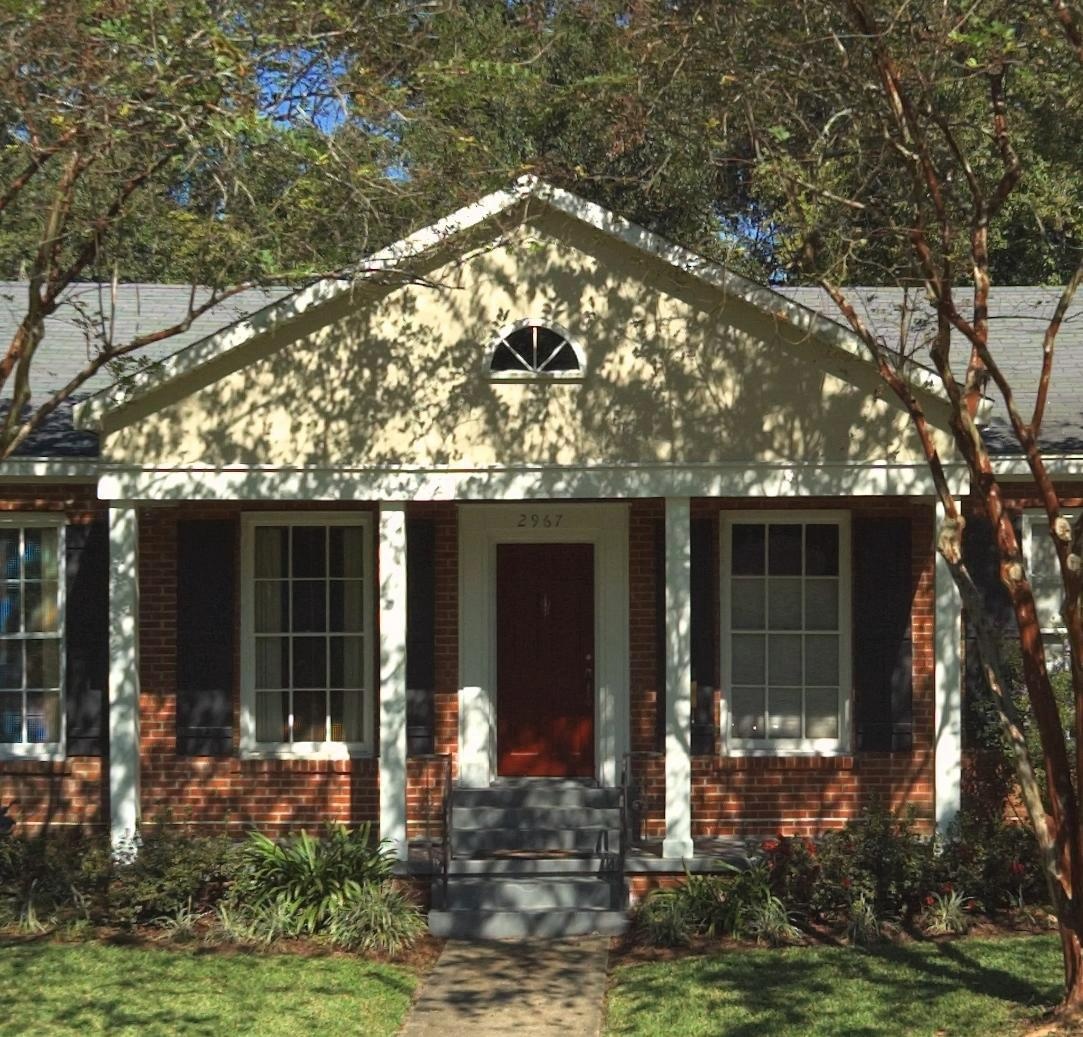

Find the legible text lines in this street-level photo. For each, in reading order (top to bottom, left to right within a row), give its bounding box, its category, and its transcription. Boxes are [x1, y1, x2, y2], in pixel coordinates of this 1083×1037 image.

[515, 512, 565, 530] StreetNumber: 2967